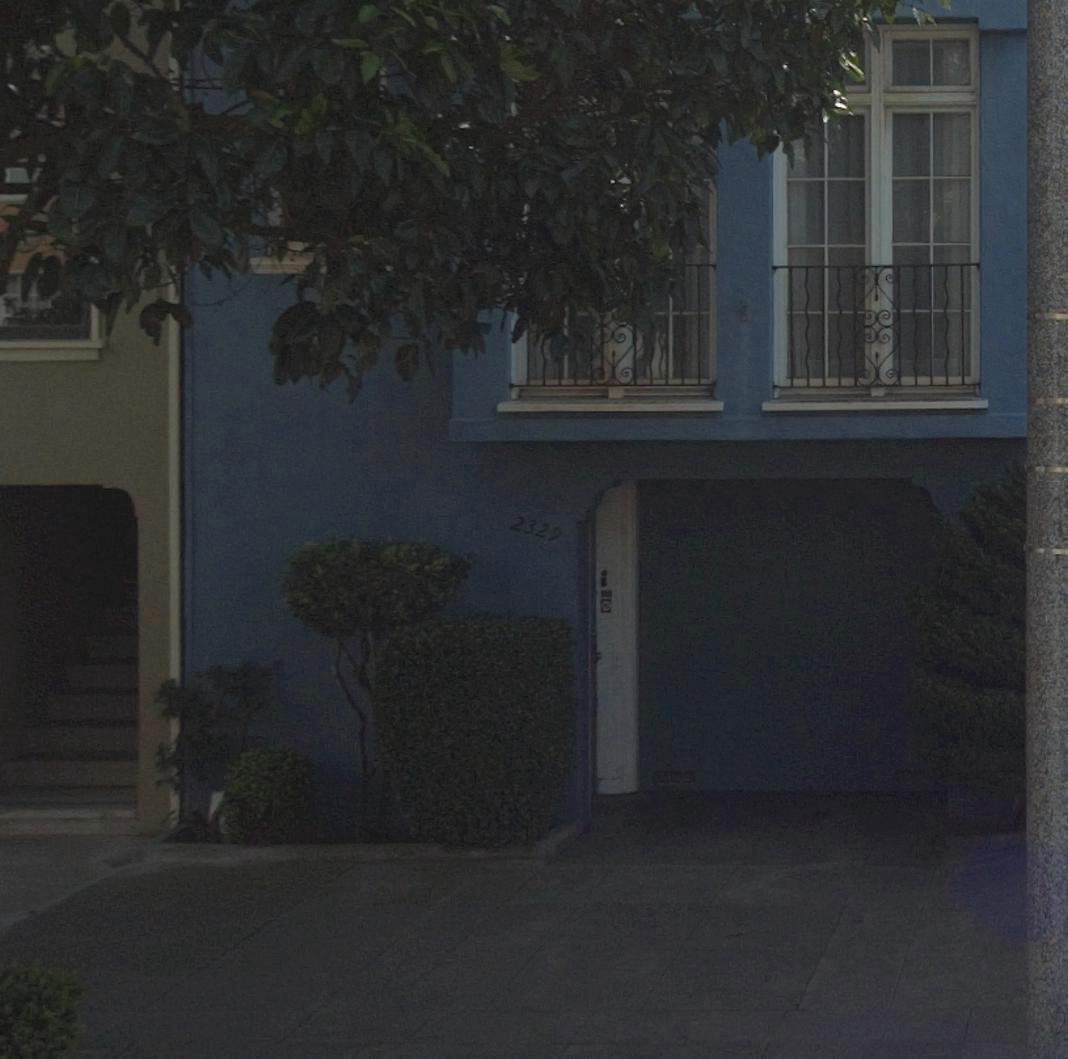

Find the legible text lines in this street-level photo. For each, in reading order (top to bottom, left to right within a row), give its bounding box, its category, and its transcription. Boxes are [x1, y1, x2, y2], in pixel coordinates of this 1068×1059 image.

[505, 514, 564, 545] StreetNumber: 2329